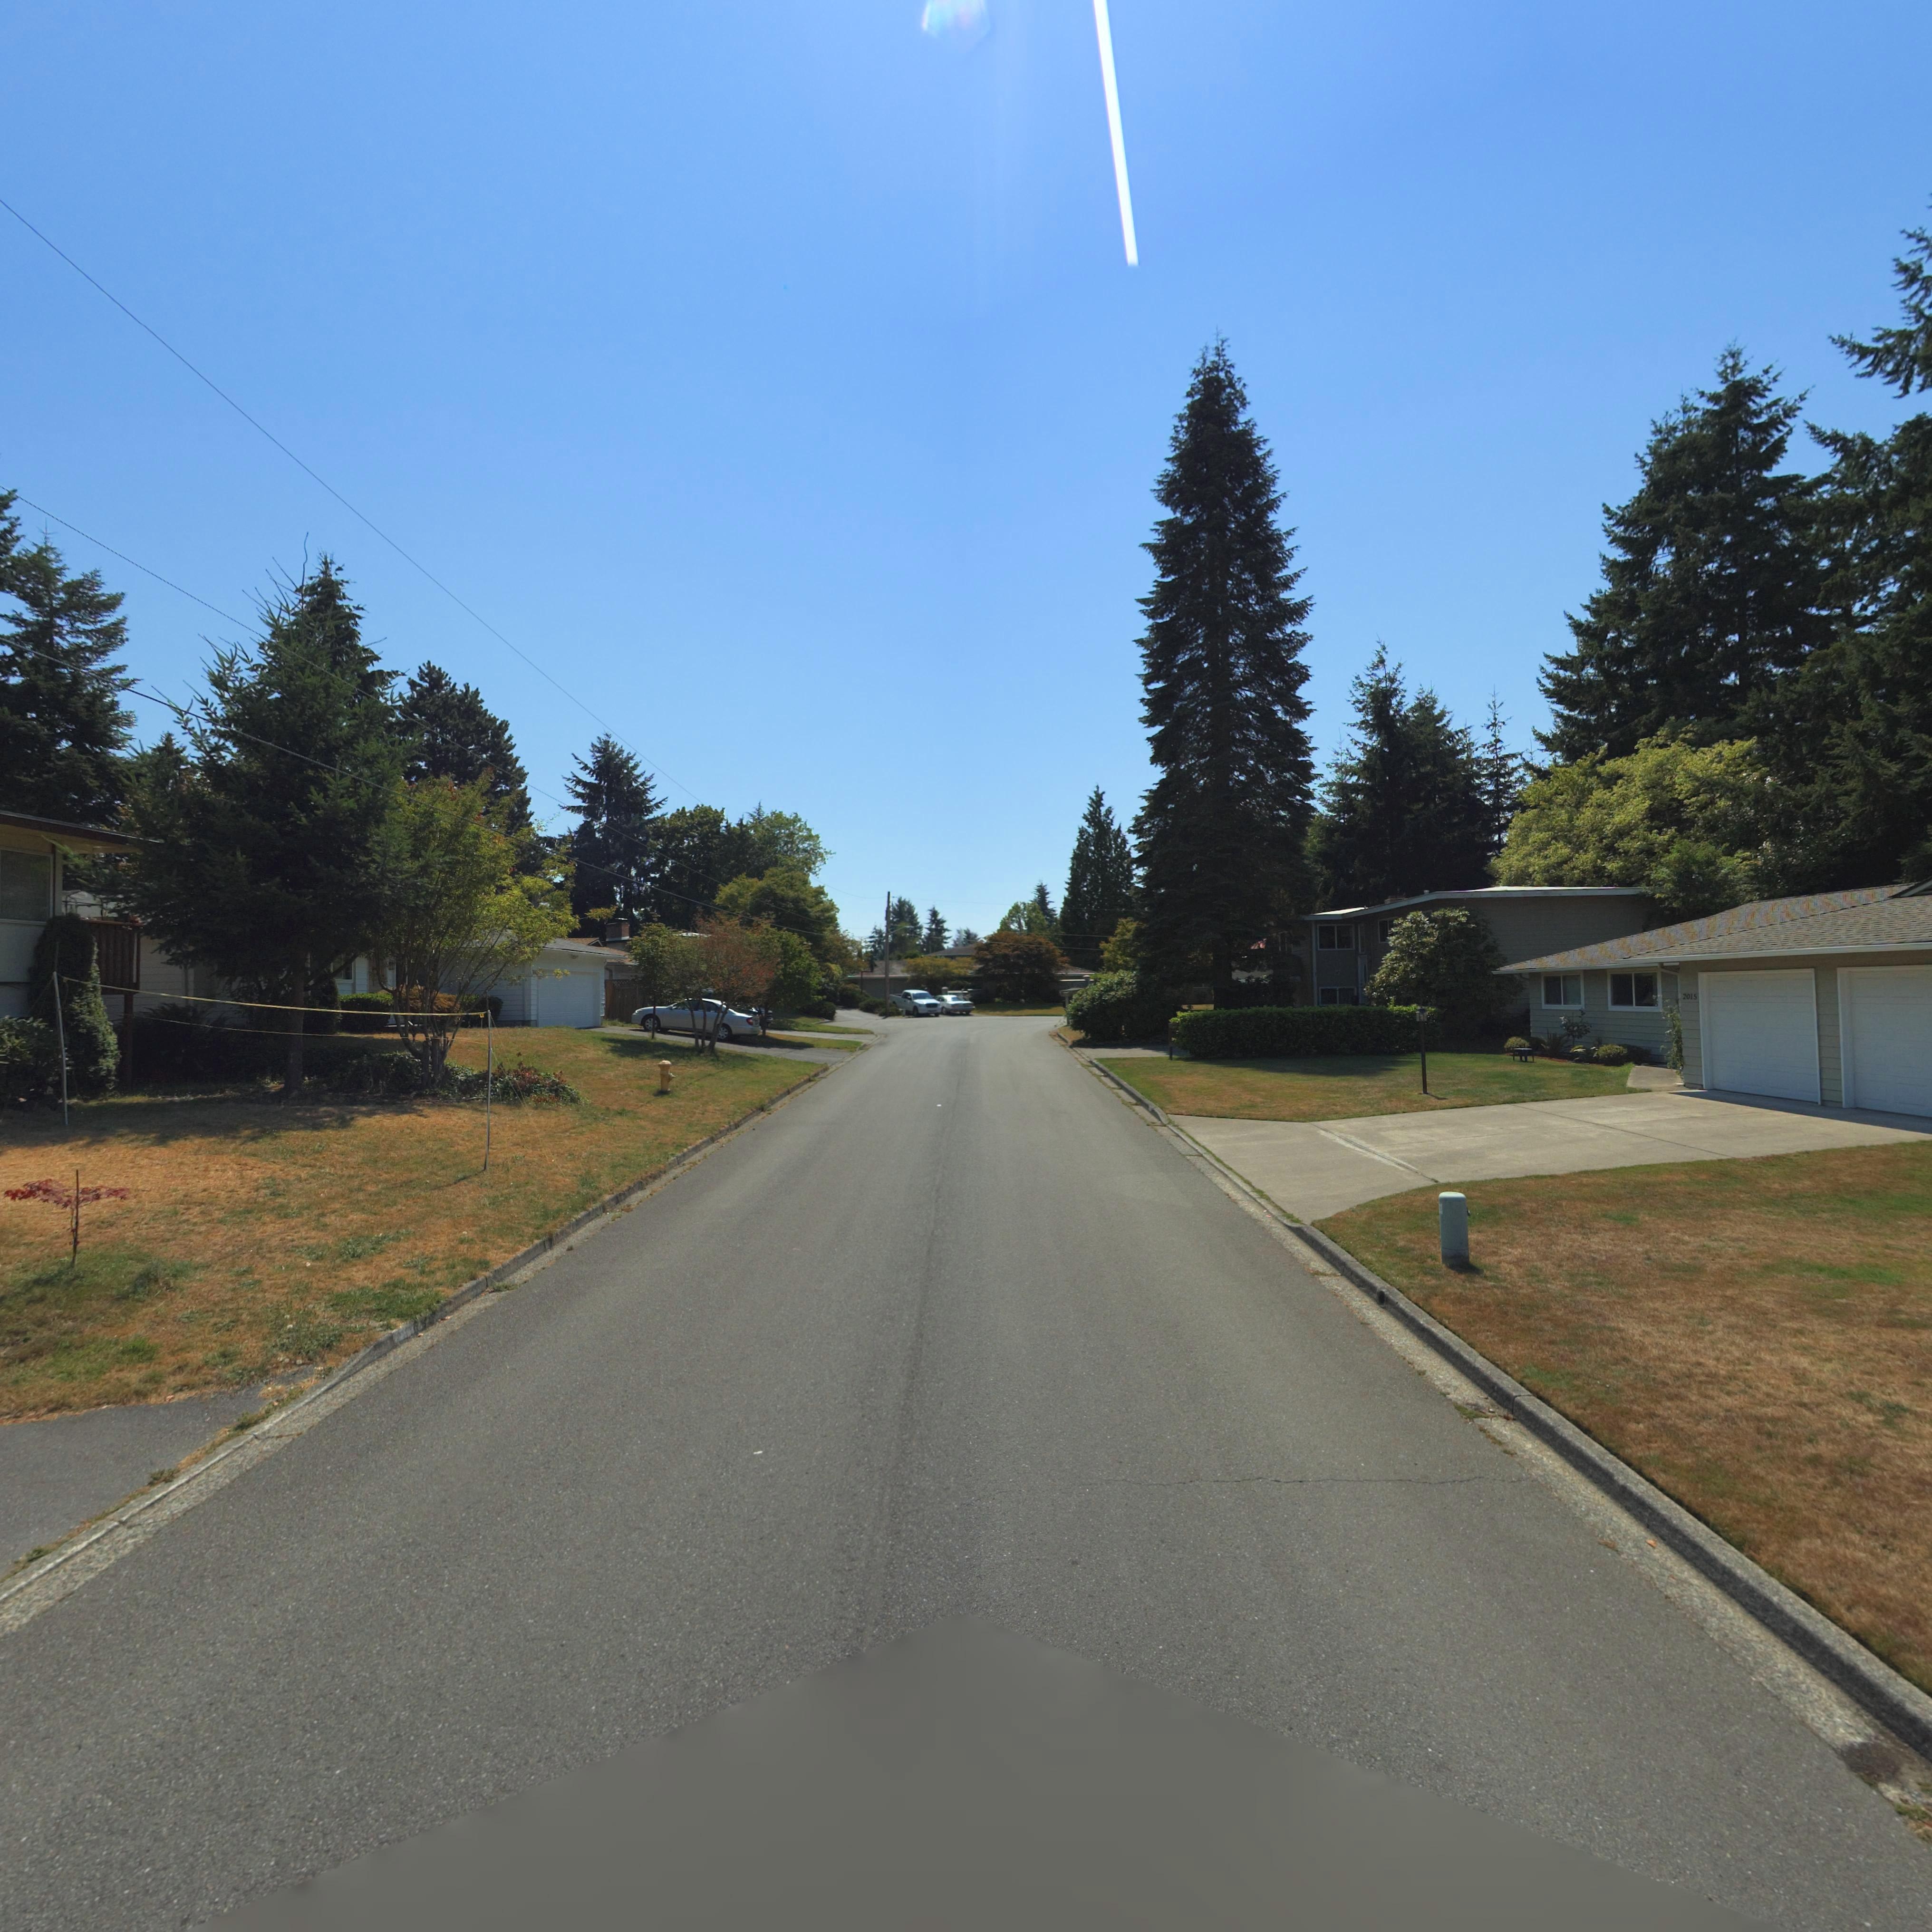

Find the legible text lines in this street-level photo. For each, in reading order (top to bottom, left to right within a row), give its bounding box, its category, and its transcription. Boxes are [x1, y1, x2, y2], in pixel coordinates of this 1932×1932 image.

[1683, 993, 1697, 1000] StreetNumber: 2015